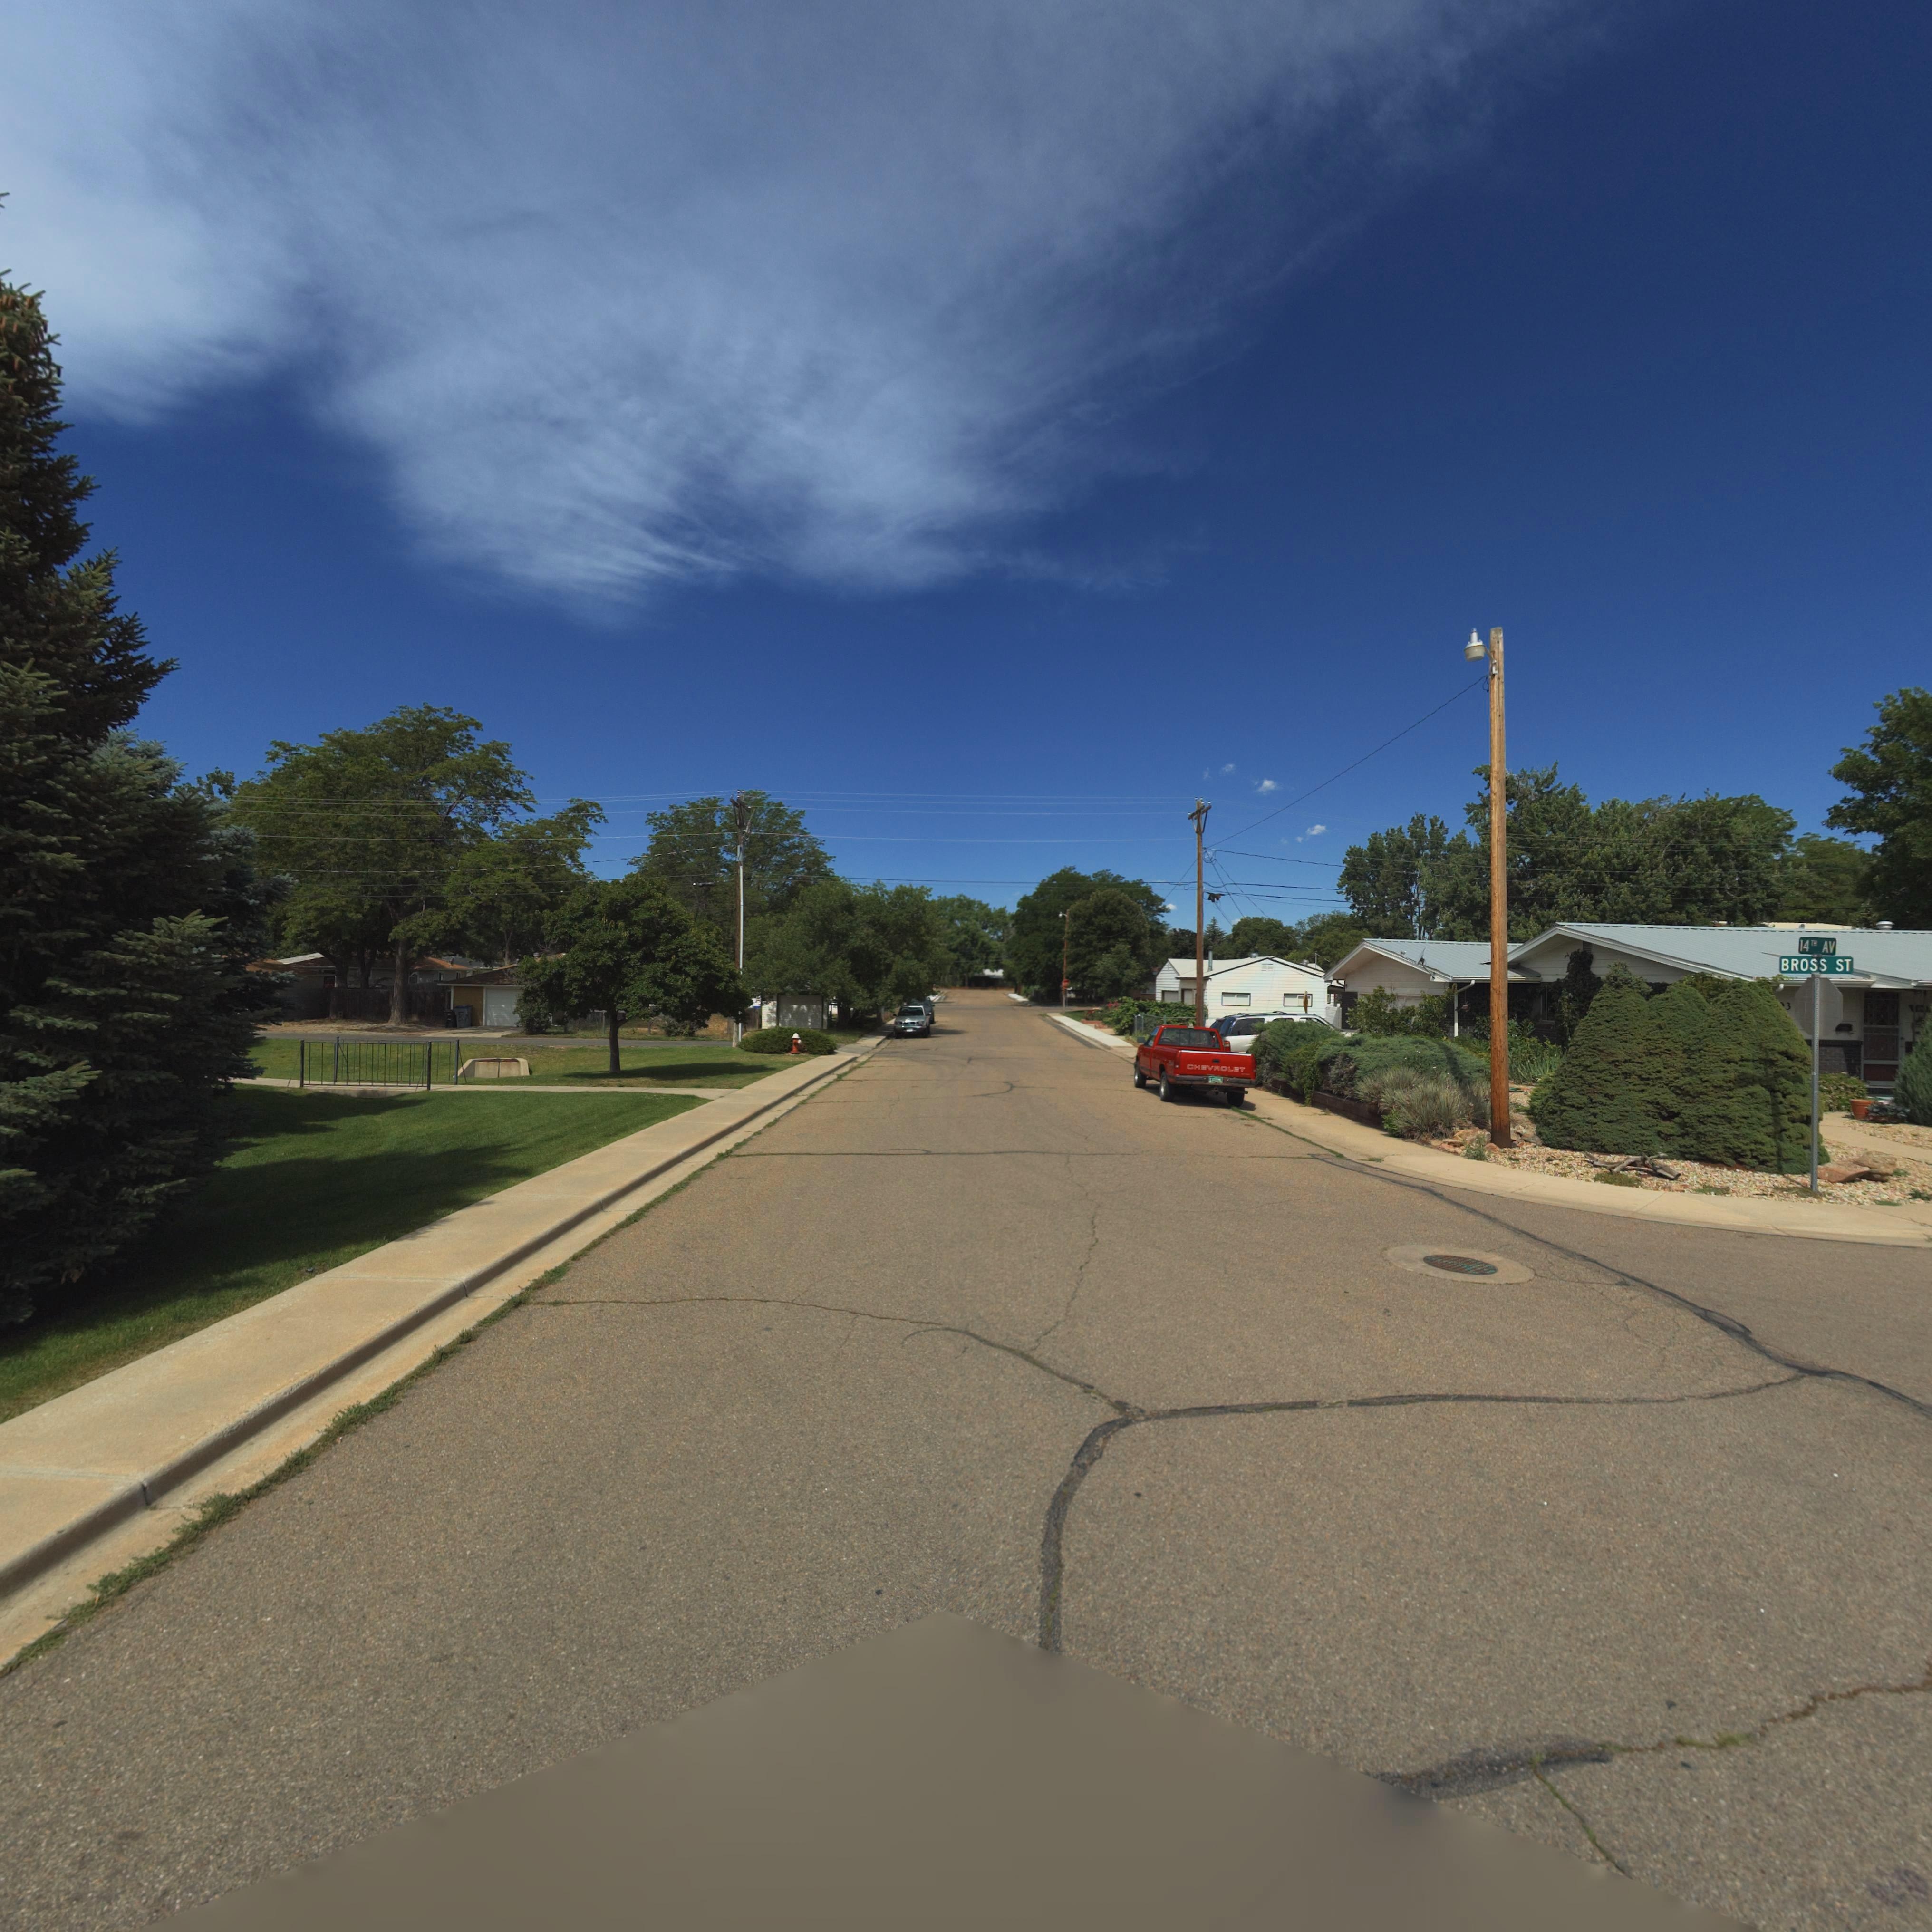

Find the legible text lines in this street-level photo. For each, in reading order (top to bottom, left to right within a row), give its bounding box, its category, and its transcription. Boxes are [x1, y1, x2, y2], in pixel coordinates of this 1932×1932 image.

[1799, 939, 1835, 953] StreetName: 14TH AV
[1781, 958, 1852, 972] StreetName: BROSS ST
[1784, 1002, 1791, 1010] StreetNumber: 3